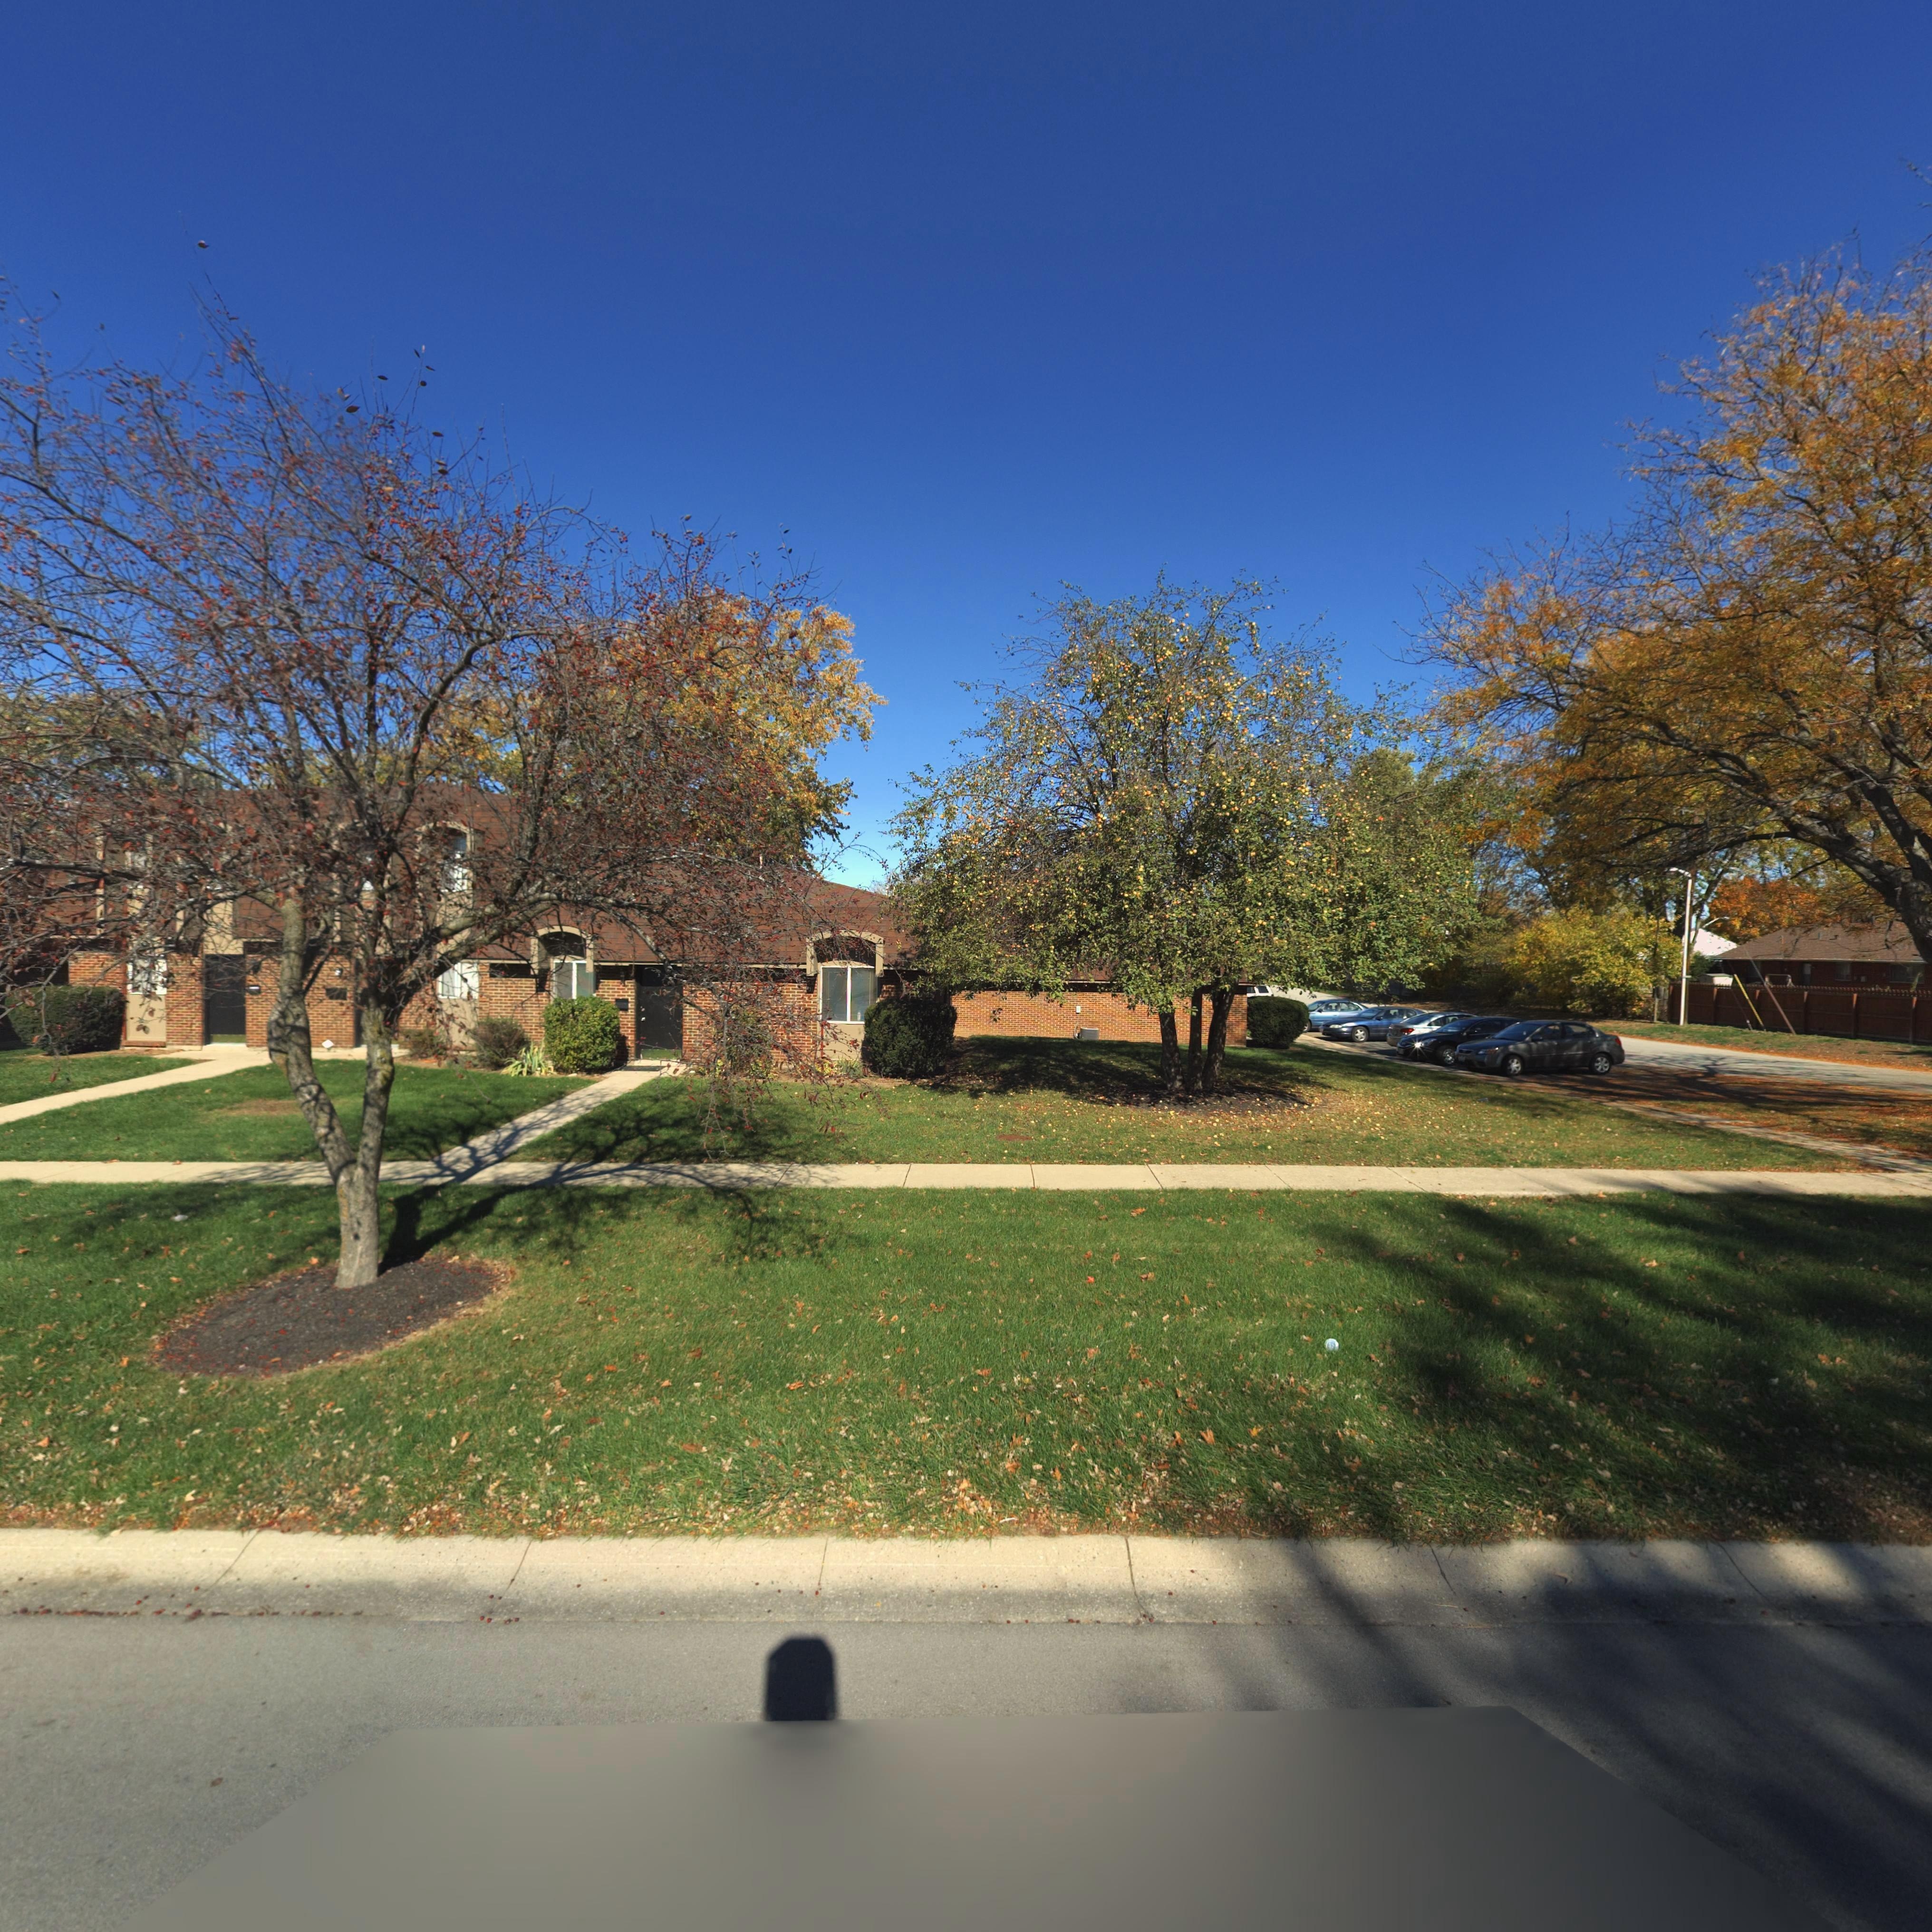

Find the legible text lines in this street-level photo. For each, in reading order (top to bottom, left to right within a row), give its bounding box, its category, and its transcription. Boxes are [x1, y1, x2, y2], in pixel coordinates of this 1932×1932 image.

[659, 989, 667, 995] StreetNumber: 12